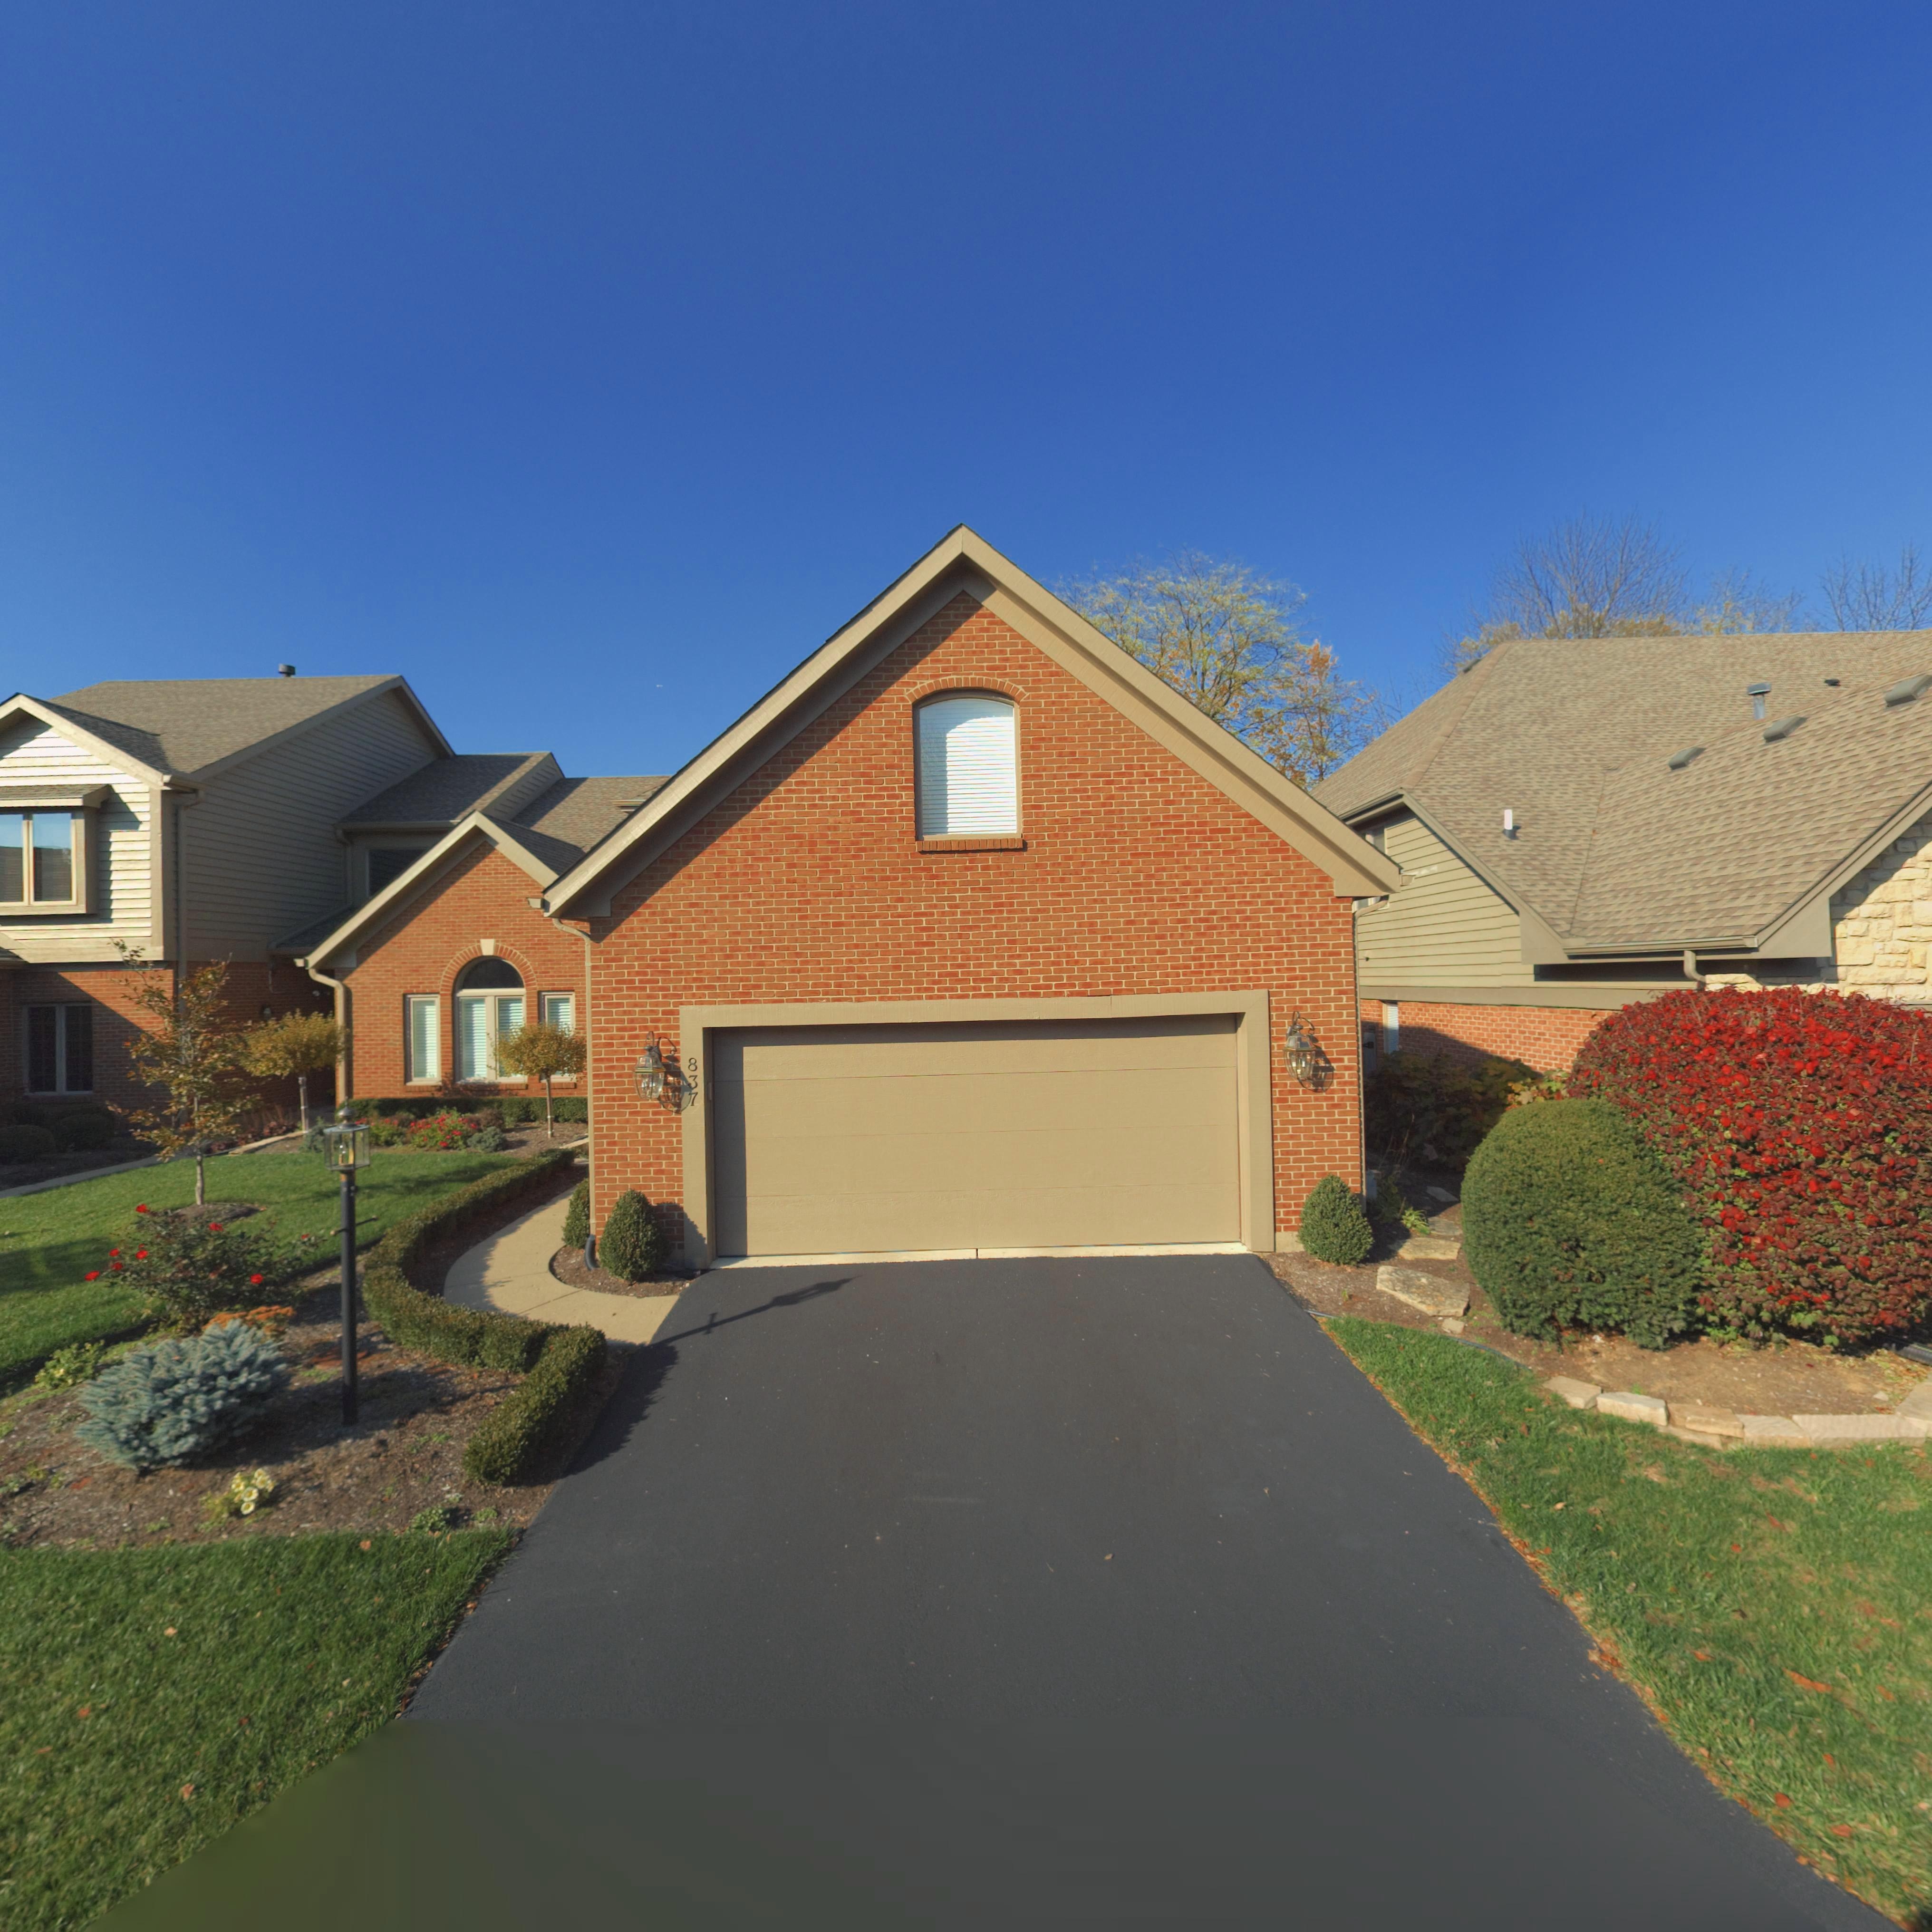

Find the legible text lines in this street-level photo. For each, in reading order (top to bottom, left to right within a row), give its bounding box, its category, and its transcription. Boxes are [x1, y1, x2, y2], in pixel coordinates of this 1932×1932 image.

[686, 1055, 700, 1108] StreetNumber: 837